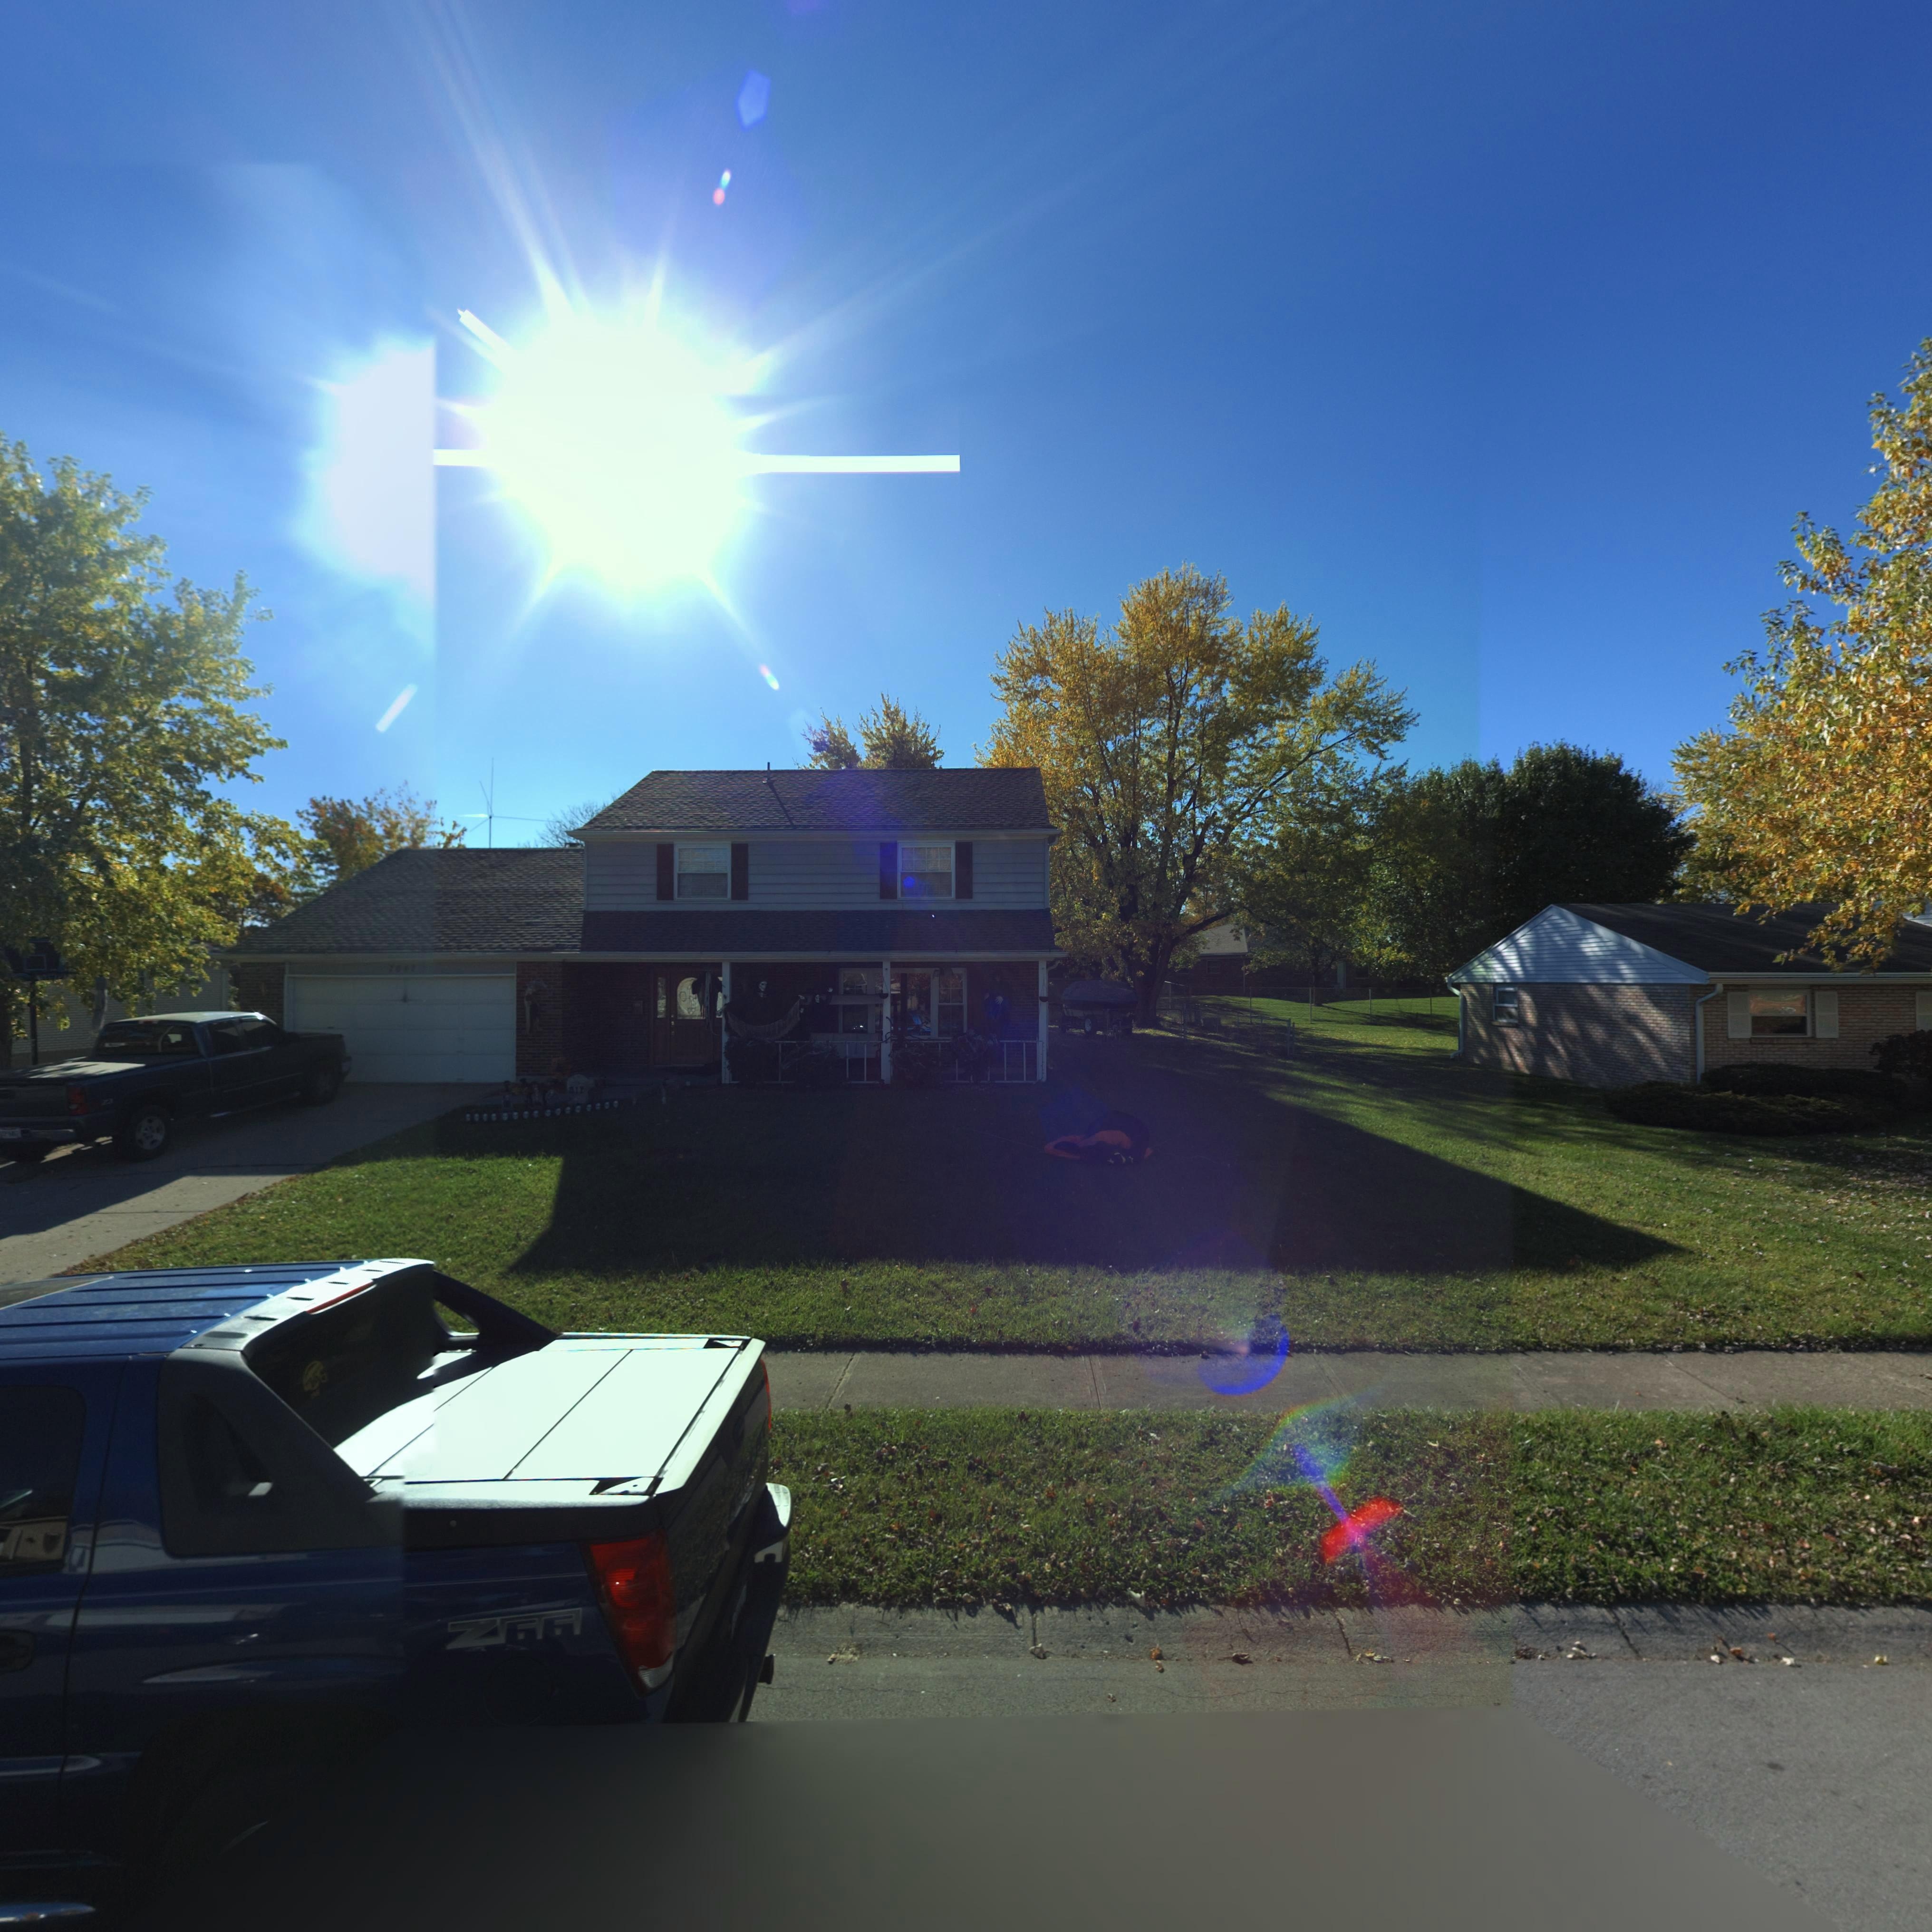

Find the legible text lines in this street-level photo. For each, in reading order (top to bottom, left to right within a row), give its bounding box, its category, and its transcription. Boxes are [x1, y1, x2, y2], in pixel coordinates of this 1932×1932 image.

[388, 963, 417, 973] StreetNumber: 70**